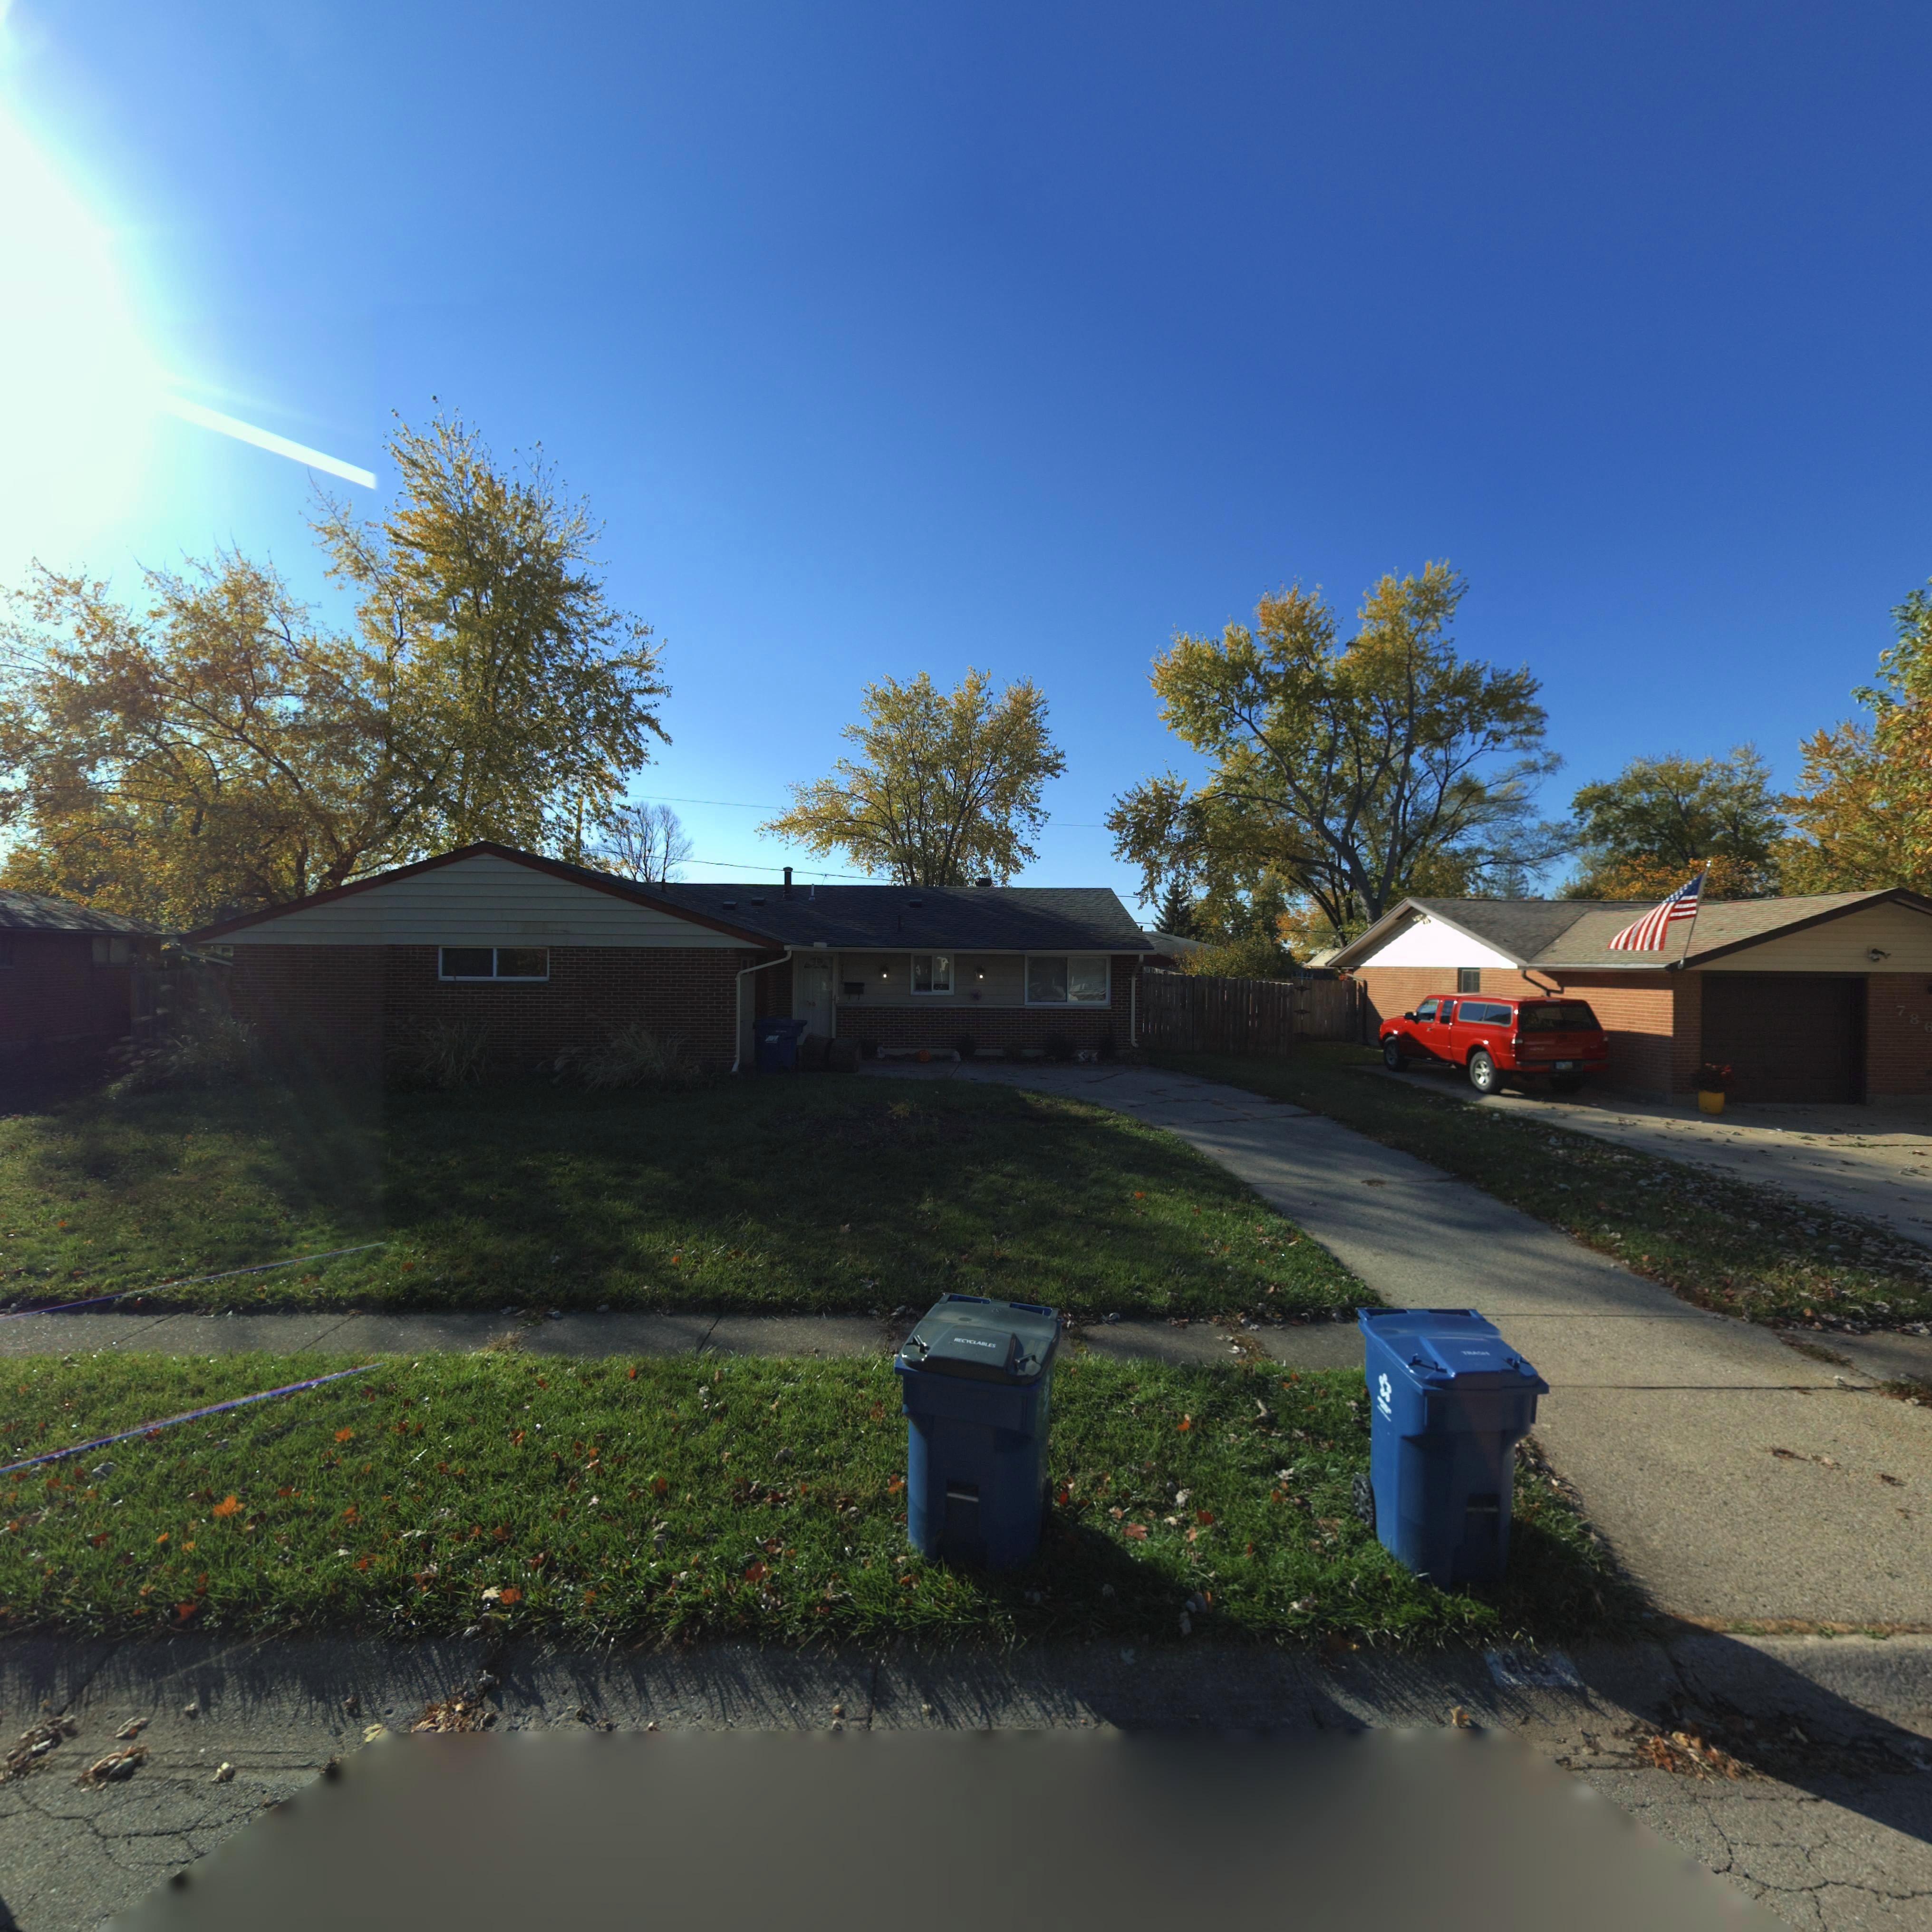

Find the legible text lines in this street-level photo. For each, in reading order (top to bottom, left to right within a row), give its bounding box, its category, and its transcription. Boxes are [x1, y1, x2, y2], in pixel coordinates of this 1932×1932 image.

[840, 964, 844, 985] StreetNumber: 7866
[1896, 1005, 1920, 1025] StreetNumber: 78
[1498, 1652, 1554, 1675] StreetNumber: 866